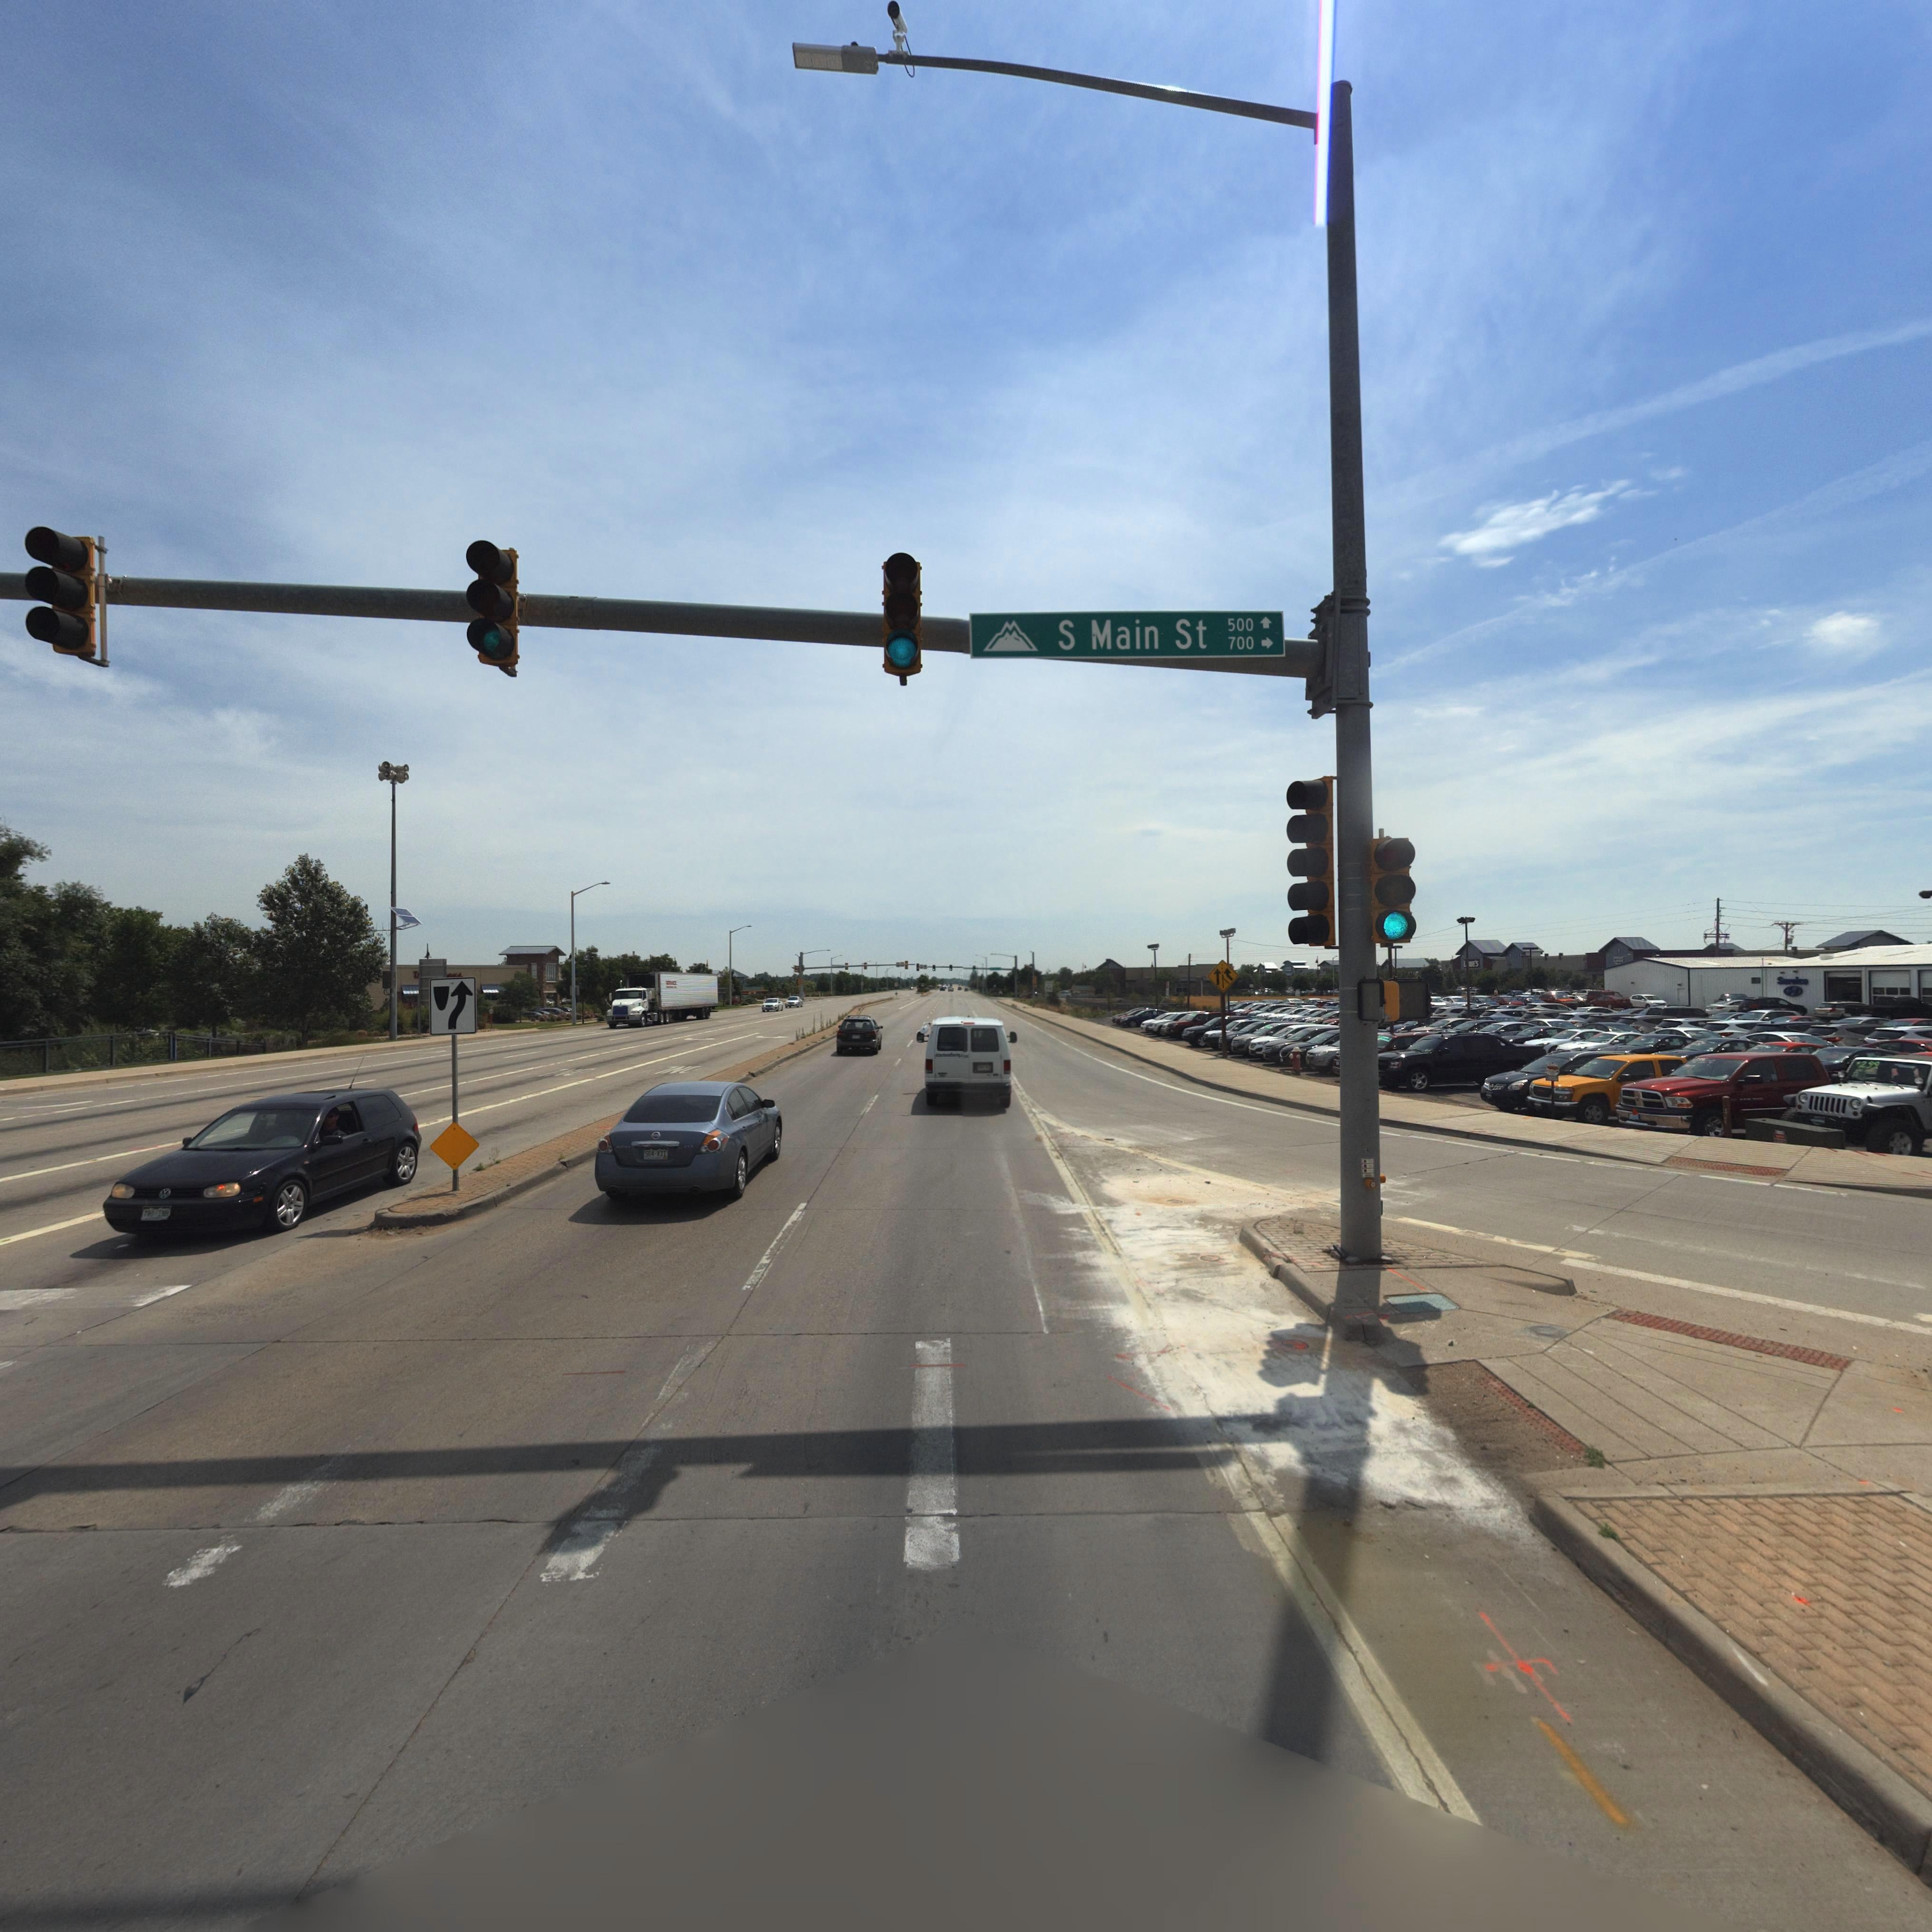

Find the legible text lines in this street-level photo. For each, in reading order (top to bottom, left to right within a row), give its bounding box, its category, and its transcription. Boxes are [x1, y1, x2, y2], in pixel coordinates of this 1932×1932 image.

[1227, 618, 1254, 632] StreetNumberRange: 500
[1057, 618, 1207, 651] StreetName: S Main St
[1227, 636, 1275, 650] StreetNumberRange: 700->
[1463, 959, 1478, 967] BusinessName: L*WE'S